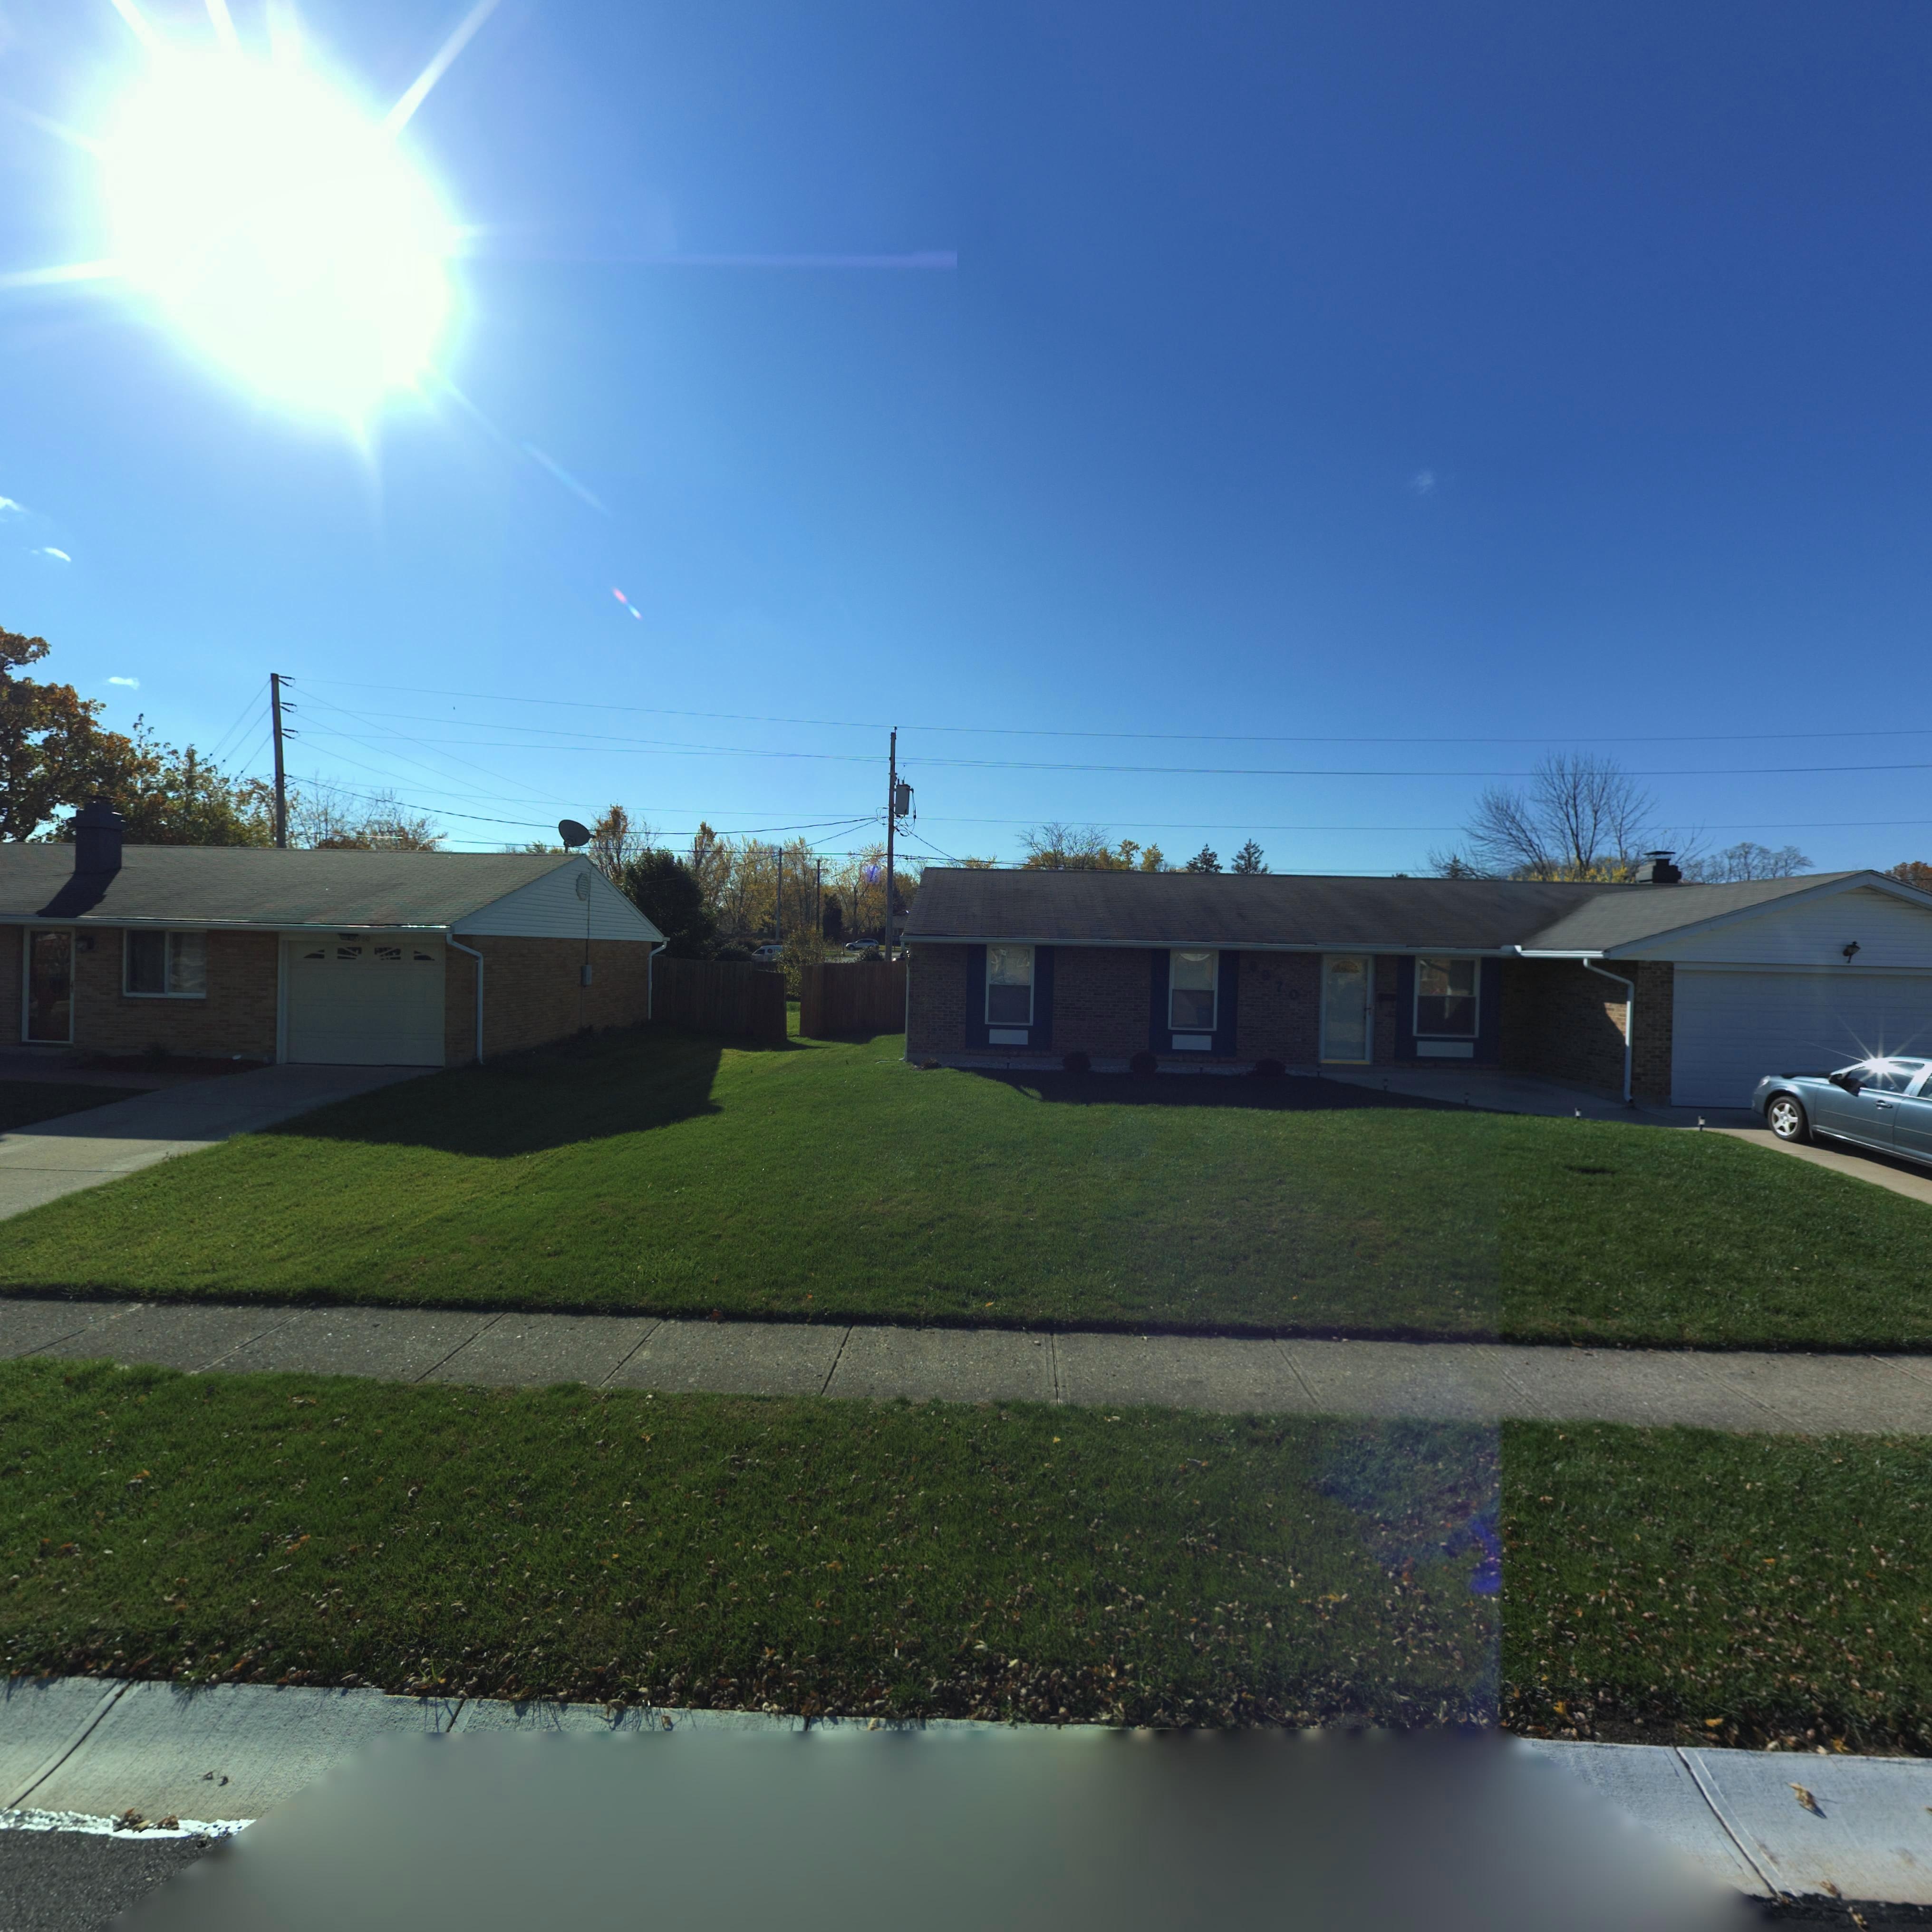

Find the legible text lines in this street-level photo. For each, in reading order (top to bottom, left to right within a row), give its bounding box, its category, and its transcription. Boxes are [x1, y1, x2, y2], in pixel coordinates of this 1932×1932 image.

[356, 935, 371, 942] StreetNumber: 980
[1247, 959, 1301, 1001] StreetNumber: 6970